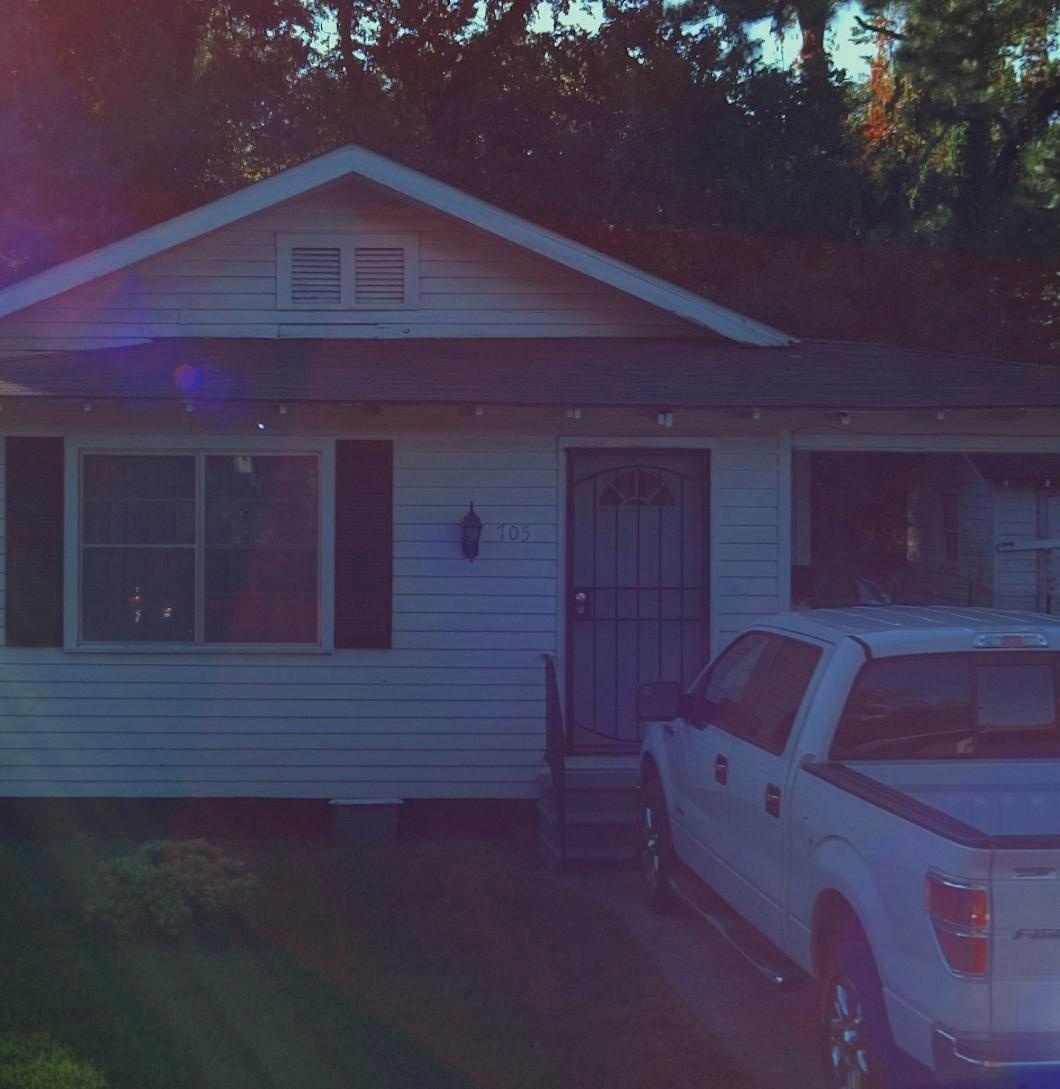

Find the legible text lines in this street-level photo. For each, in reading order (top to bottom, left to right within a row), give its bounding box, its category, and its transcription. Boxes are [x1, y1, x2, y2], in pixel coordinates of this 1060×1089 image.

[495, 521, 532, 544] StreetNumber: 705
[1011, 925, 1057, 942] None: F15